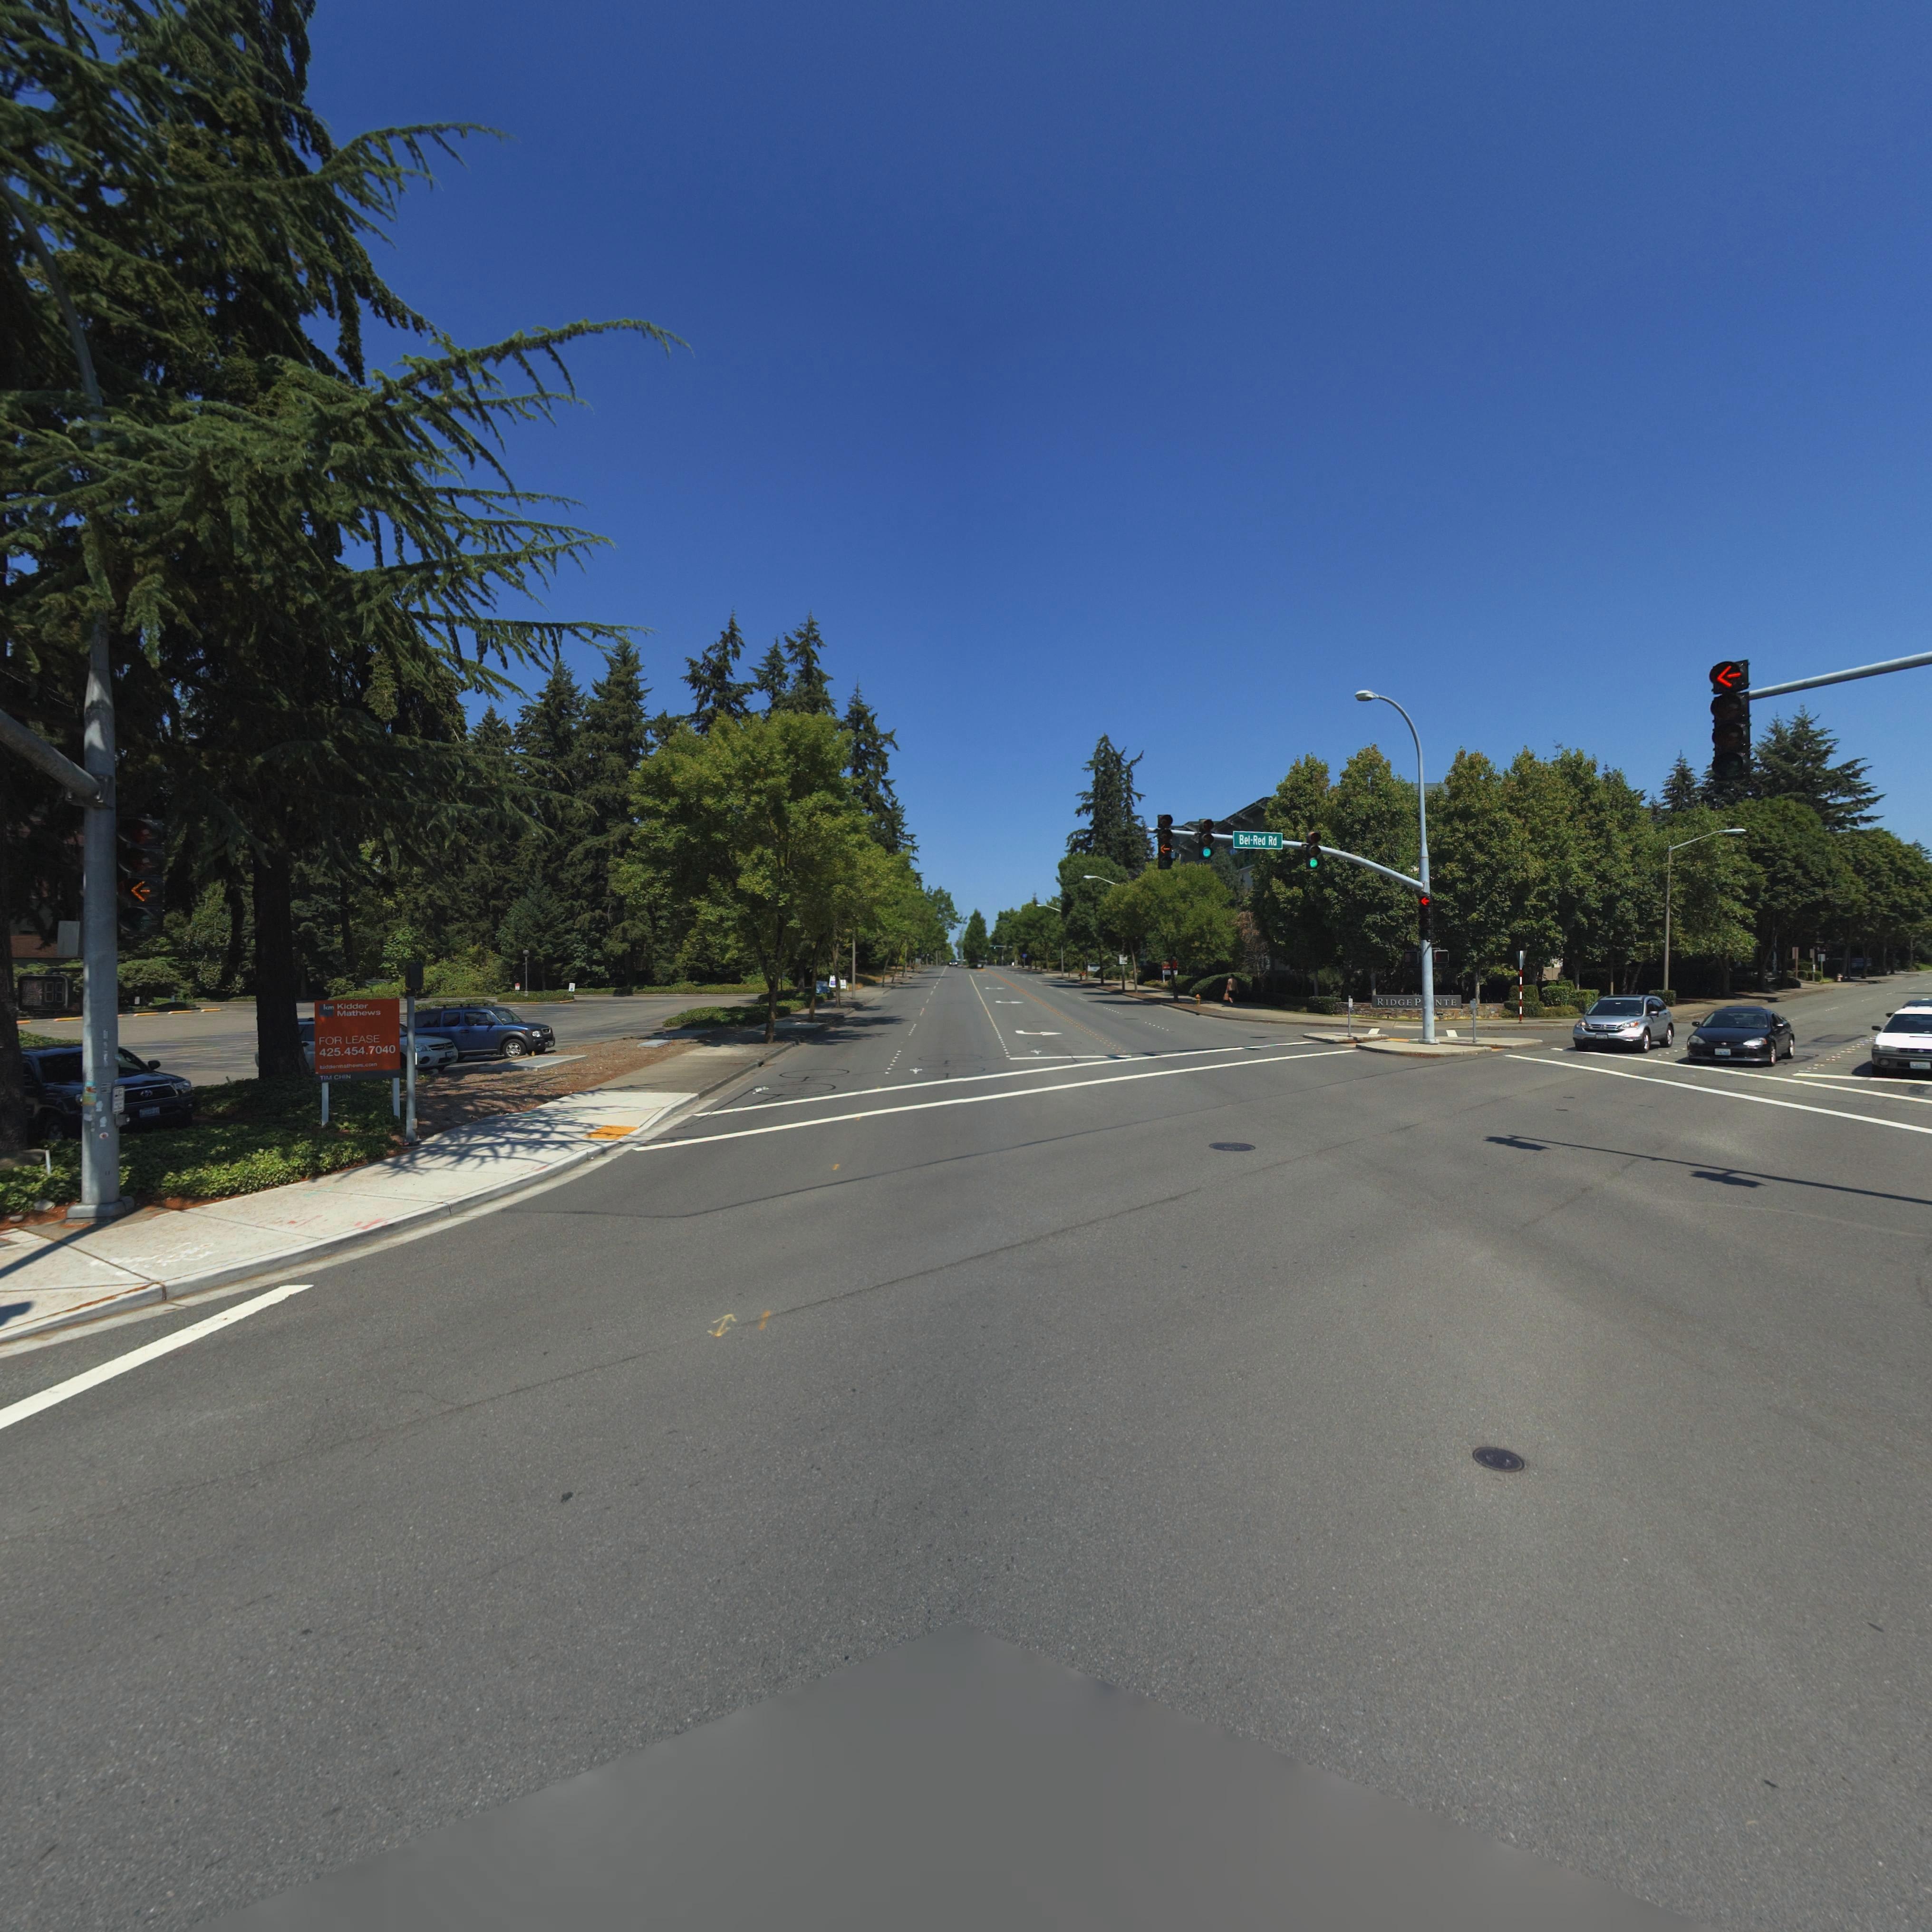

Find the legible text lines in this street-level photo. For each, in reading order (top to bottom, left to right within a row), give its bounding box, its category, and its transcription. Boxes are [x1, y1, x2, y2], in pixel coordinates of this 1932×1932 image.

[1239, 834, 1277, 846] StreetName: Bel-Red Rd
[1377, 997, 1457, 1006] BusinessName: RIDGEP*NTE